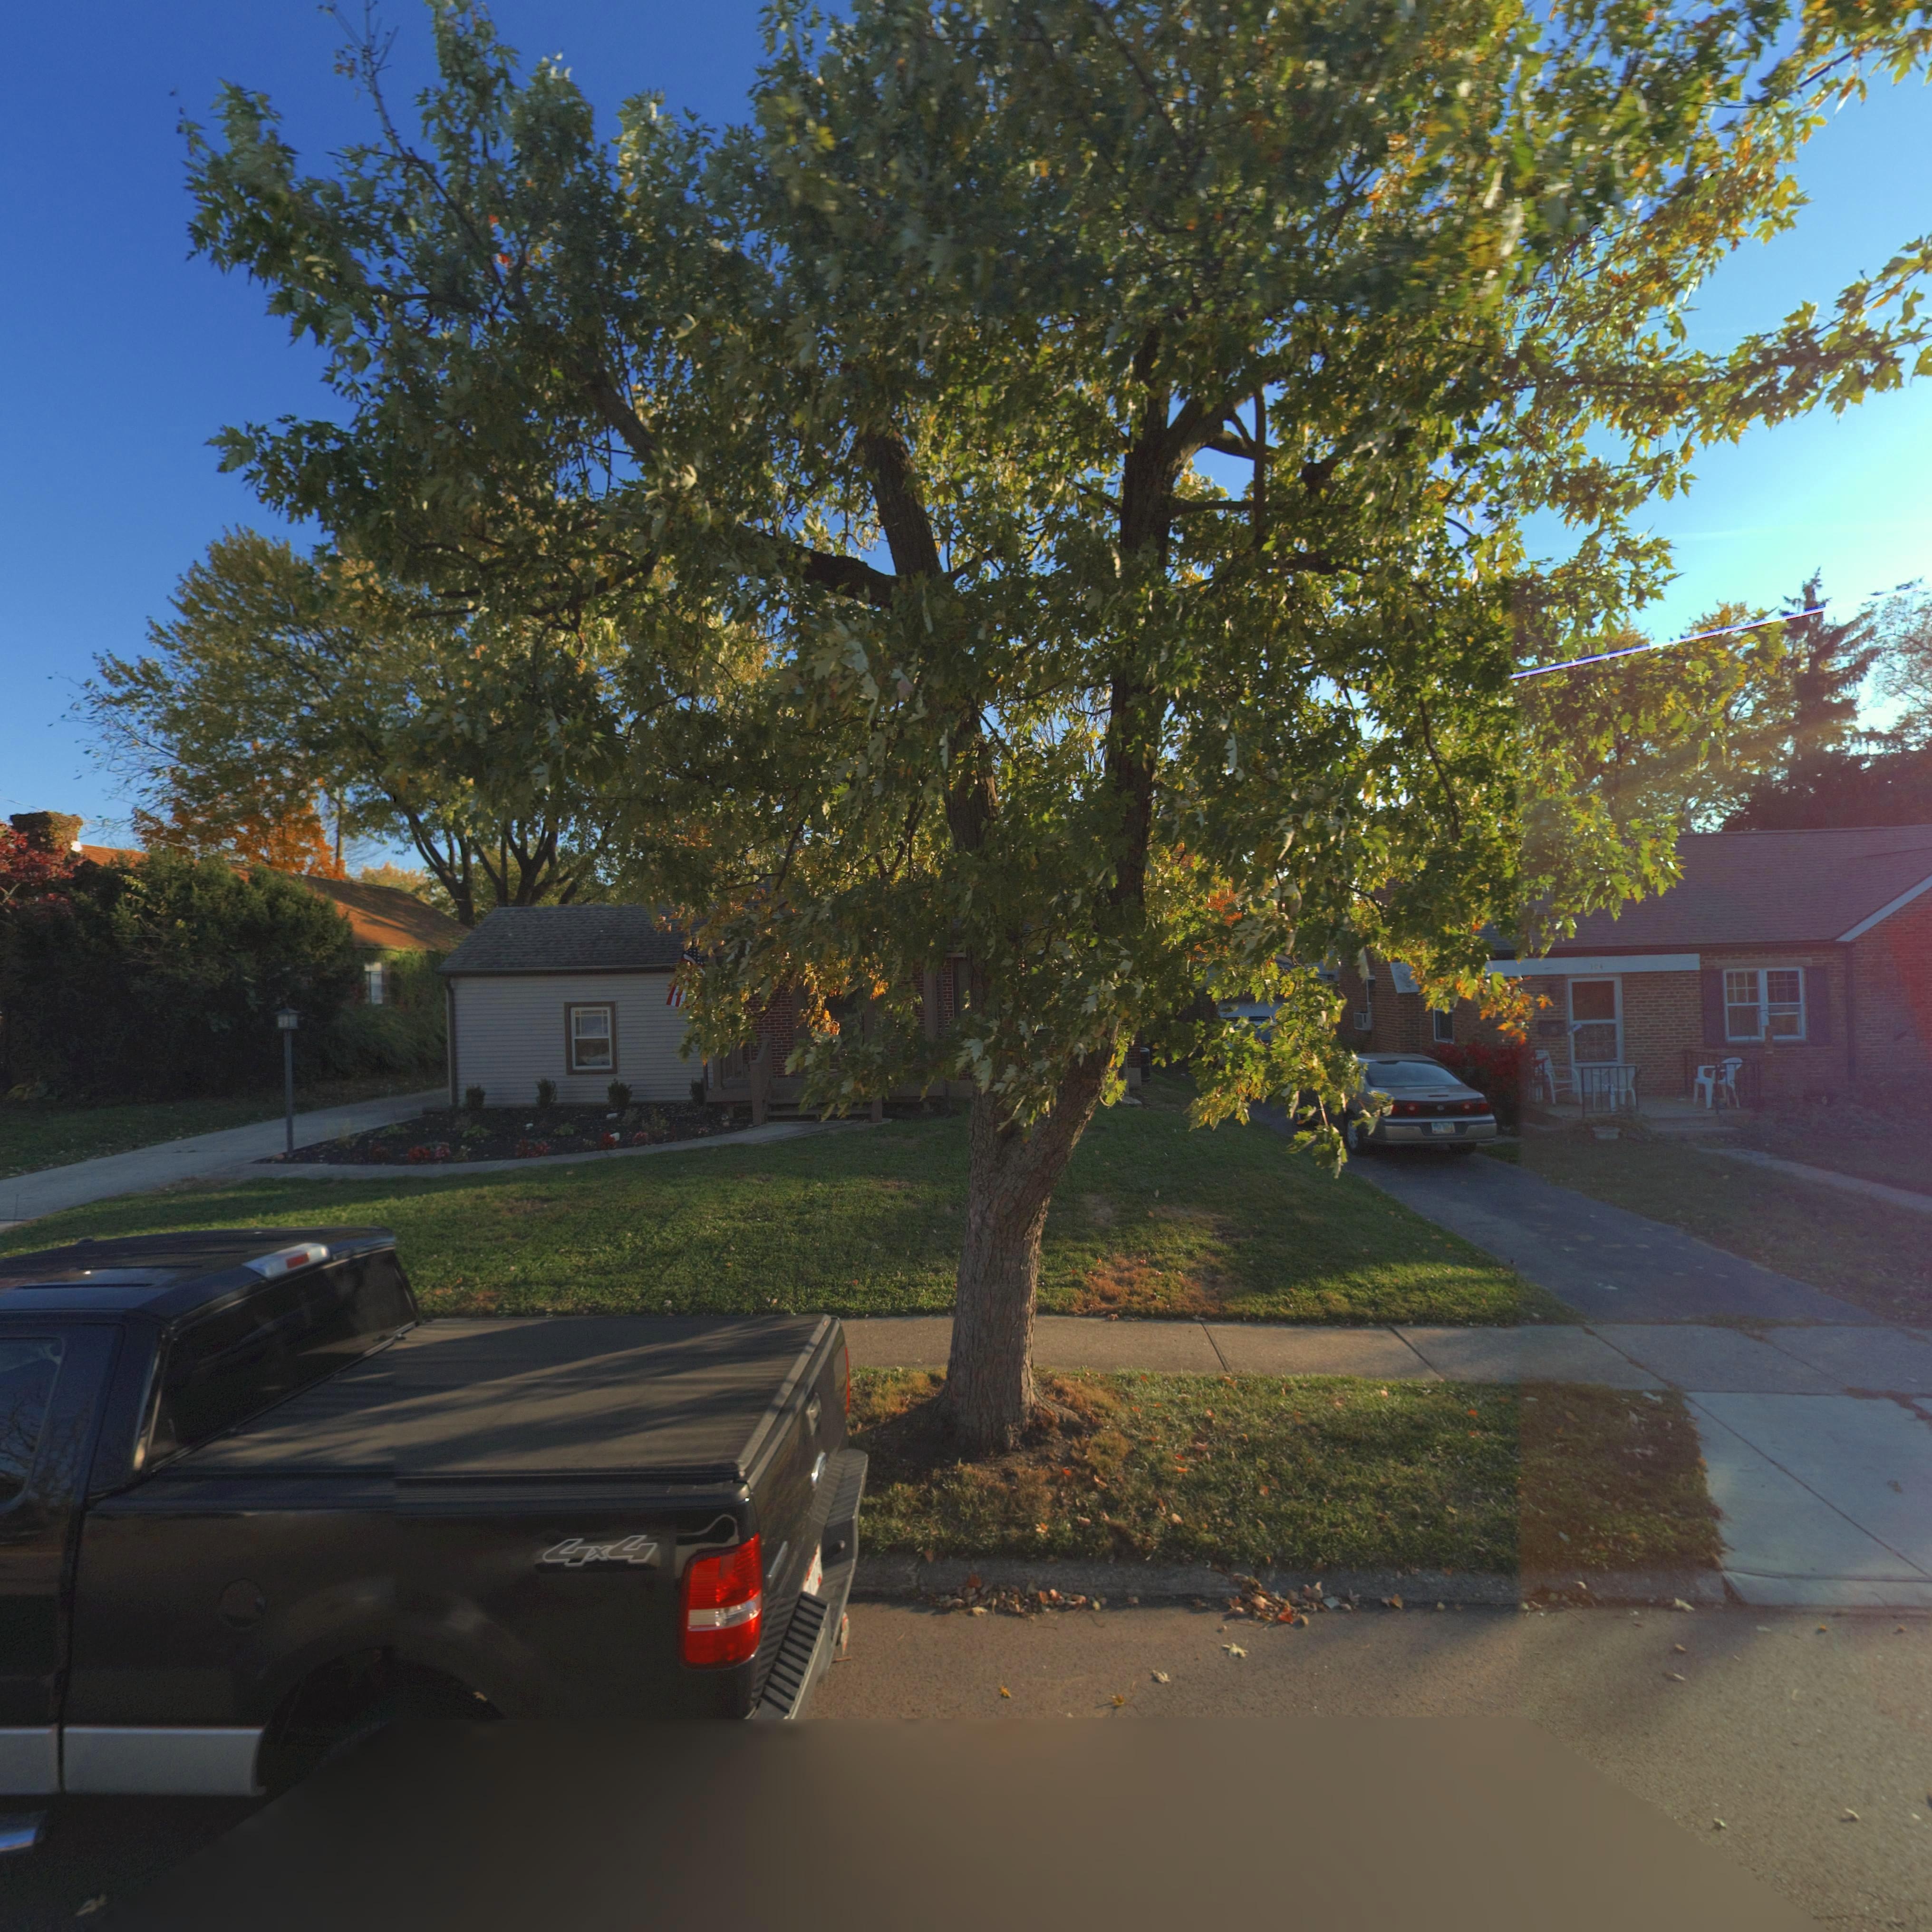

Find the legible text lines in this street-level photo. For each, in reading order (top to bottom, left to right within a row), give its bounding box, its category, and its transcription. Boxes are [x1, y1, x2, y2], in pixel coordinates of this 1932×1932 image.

[1589, 963, 1604, 970] StreetNumber: 104